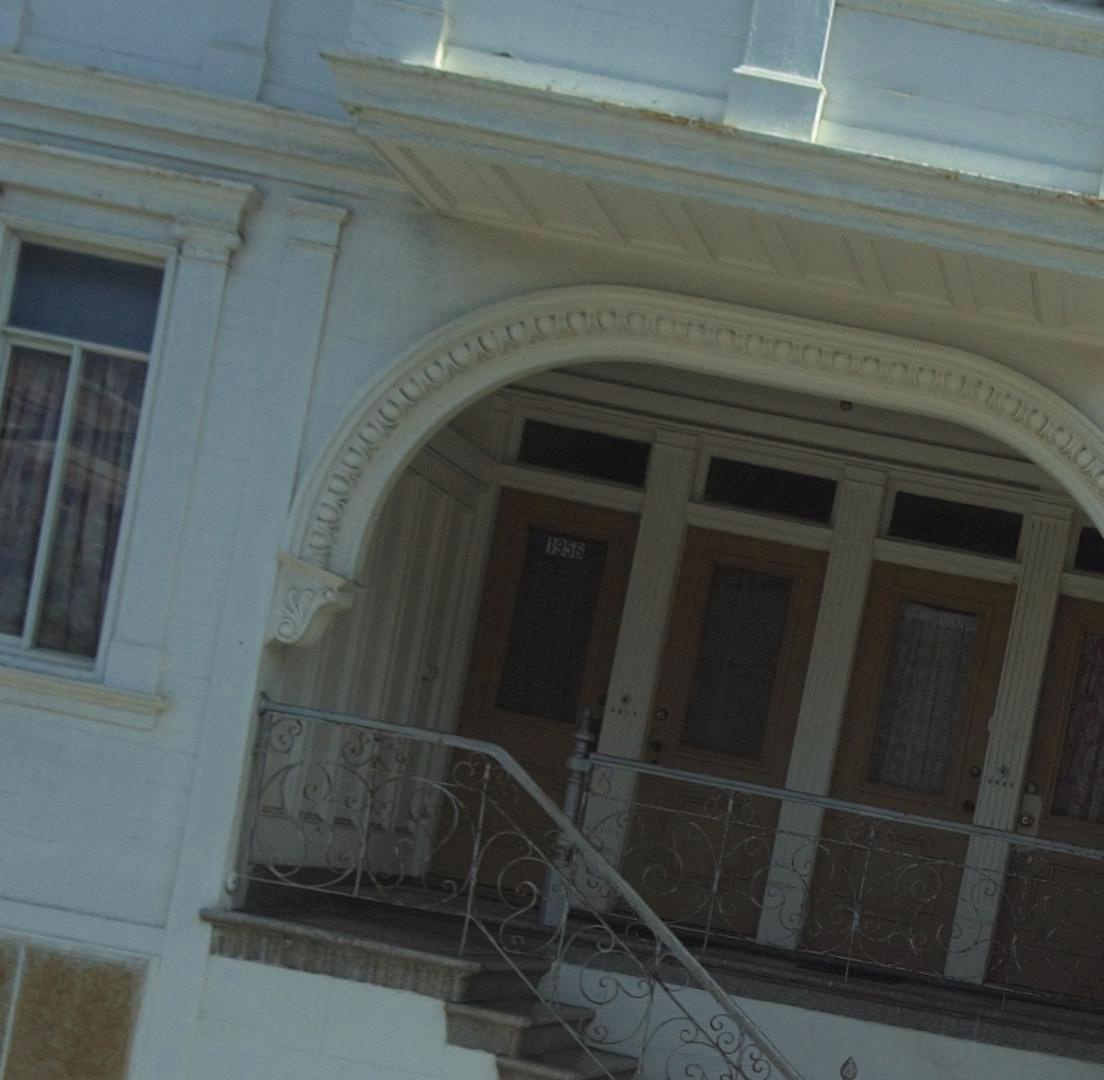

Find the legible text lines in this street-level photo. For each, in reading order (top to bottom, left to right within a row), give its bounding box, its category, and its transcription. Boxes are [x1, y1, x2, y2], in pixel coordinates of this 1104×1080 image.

[547, 536, 586, 560] StreetNumber: 1956